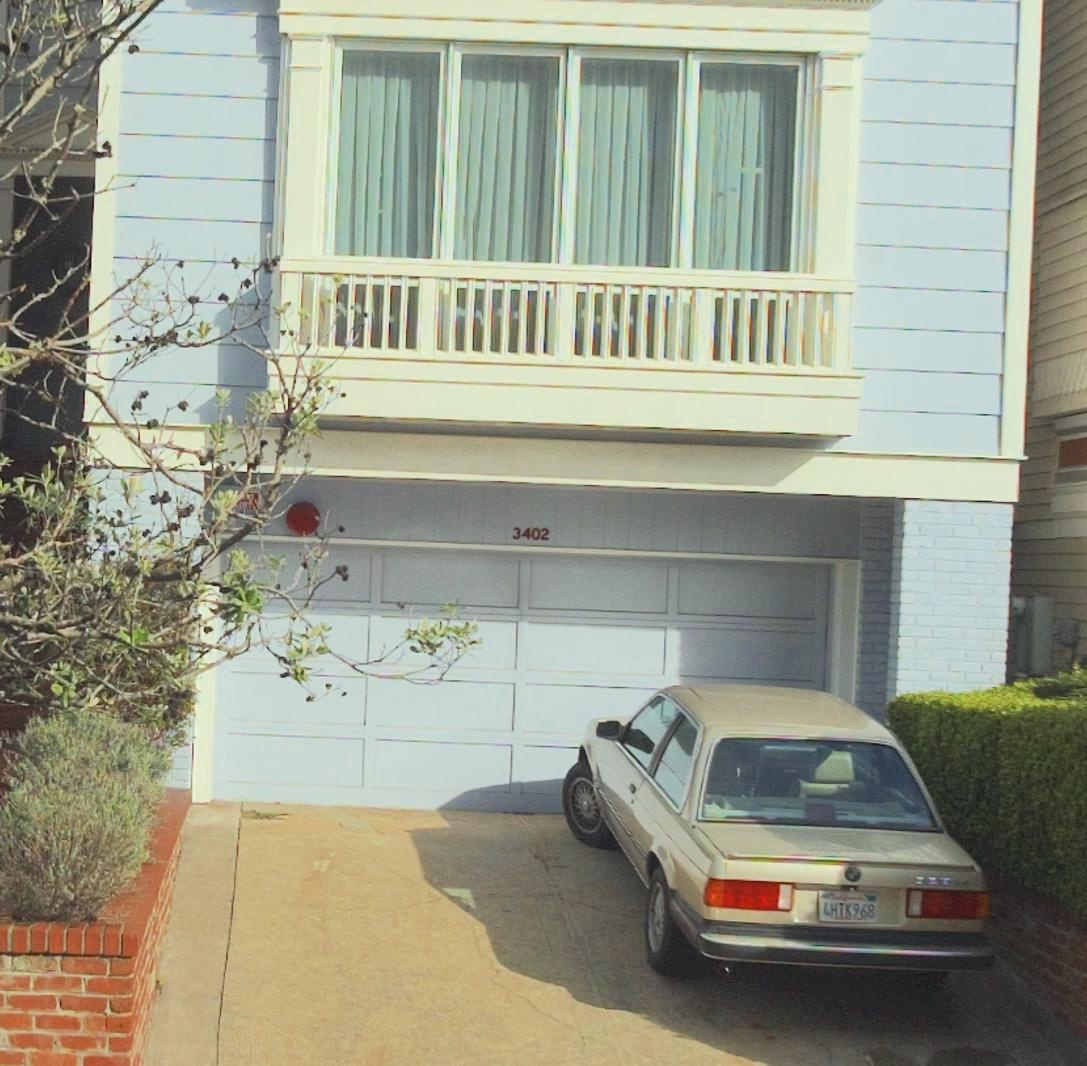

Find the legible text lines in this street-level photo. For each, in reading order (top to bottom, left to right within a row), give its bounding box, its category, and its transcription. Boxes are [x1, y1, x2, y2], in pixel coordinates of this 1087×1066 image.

[509, 524, 552, 543] StreetNumber: 3402
[821, 900, 878, 921] None: 4HTK968